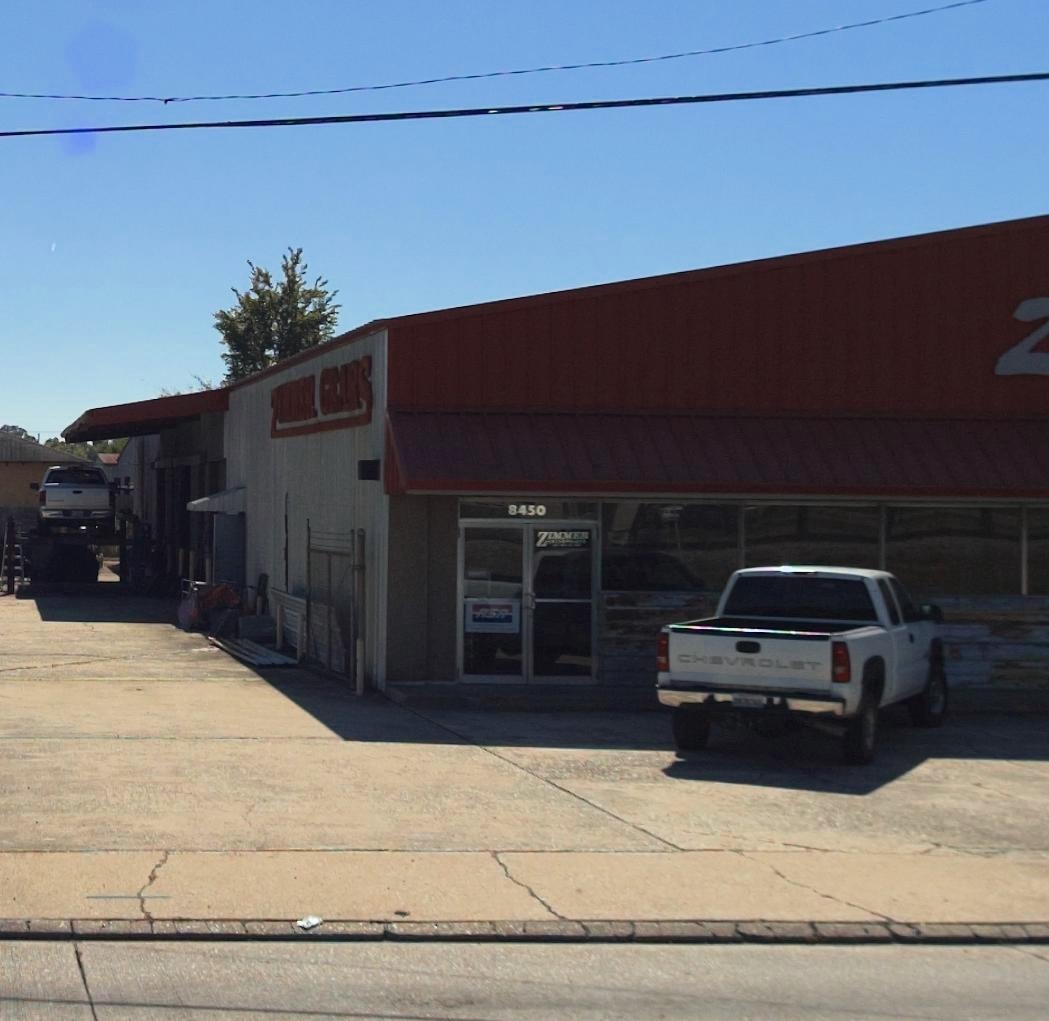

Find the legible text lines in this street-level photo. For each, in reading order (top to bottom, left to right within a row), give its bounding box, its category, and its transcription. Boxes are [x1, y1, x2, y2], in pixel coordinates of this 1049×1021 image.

[507, 504, 547, 516] StreetNumber: 8450
[535, 531, 590, 547] BusinessName: ZIMMER
[475, 608, 510, 619] None: RSA
[677, 653, 823, 671] None: CHEVROLET